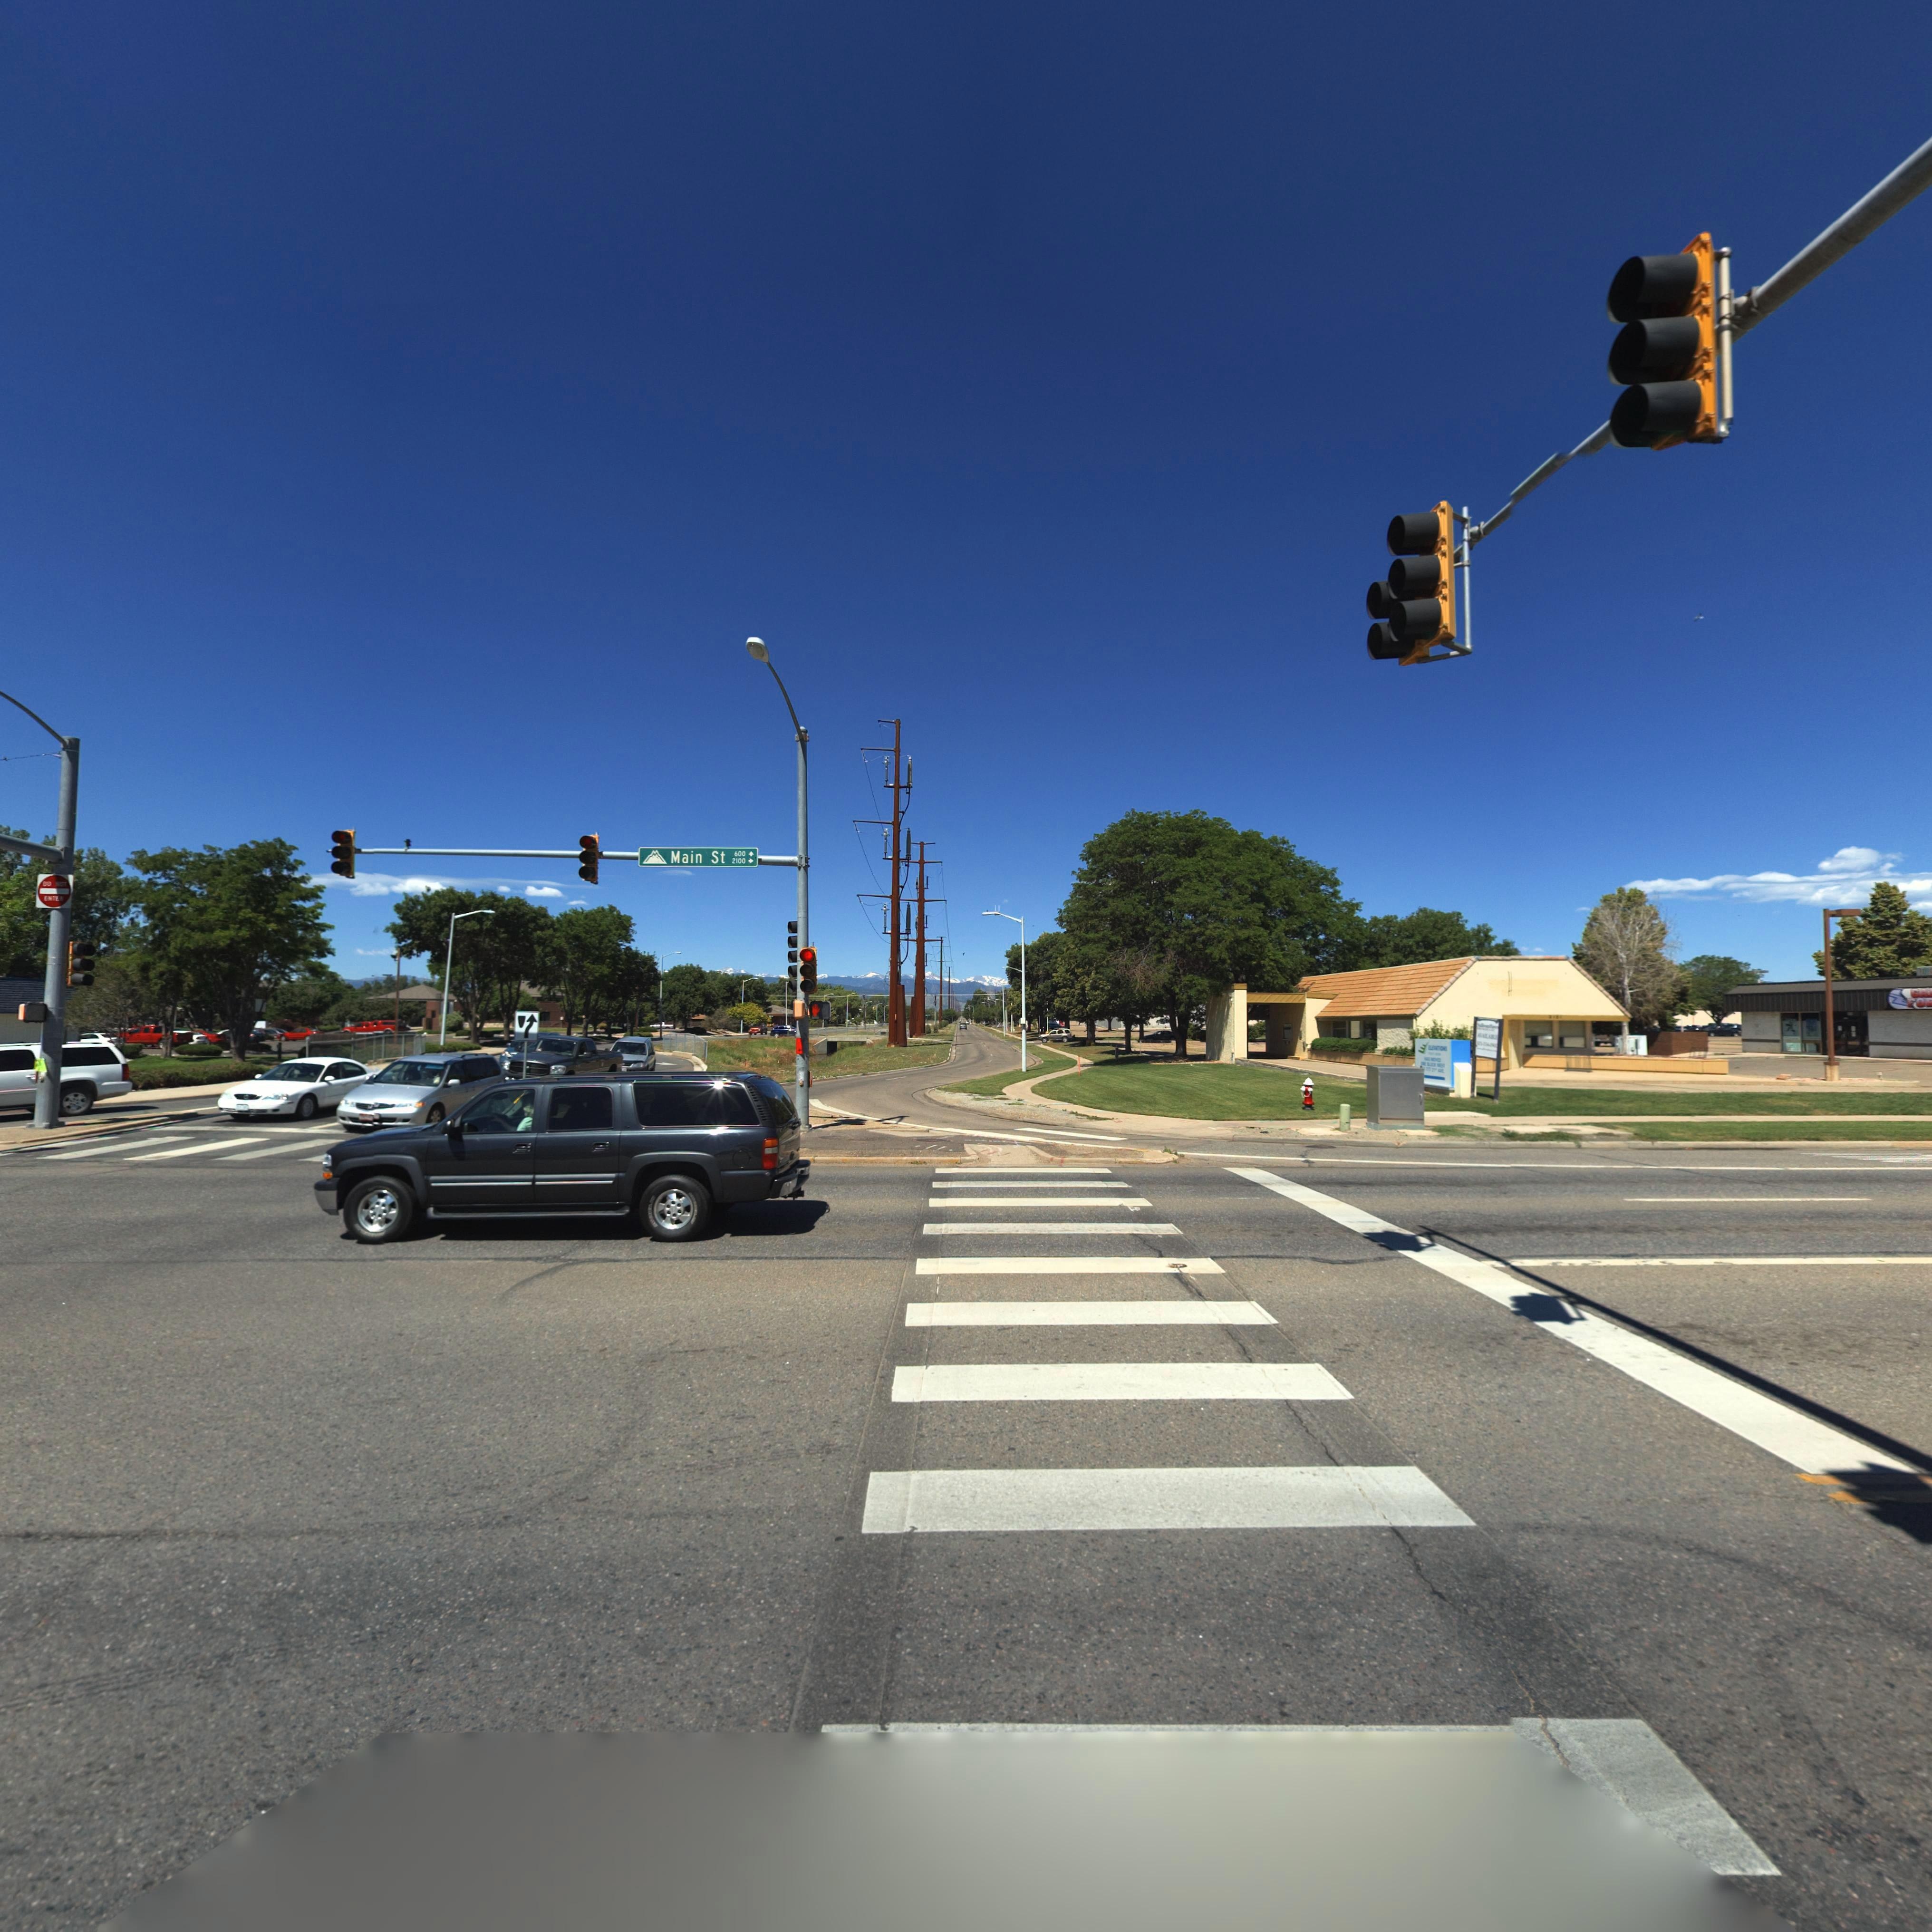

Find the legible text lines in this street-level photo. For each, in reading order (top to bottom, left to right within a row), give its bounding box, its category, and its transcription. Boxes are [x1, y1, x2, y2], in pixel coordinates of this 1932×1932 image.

[670, 850, 725, 864] StreetName: Main St
[734, 850, 745, 857] StreetNumberRange: 600
[732, 857, 754, 864] StreetNumberRange: 2100->
[1910, 988, 1928, 997] BusinessName: GA
[1905, 997, 1925, 1007] BusinessName: FO
[1548, 1014, 1563, 1019] StreetNumber: 2102
[1428, 1044, 1447, 1051] BusinessName: ELEVATIONS
[1431, 1067, 1444, 1073] StreetName: 2*** AVE